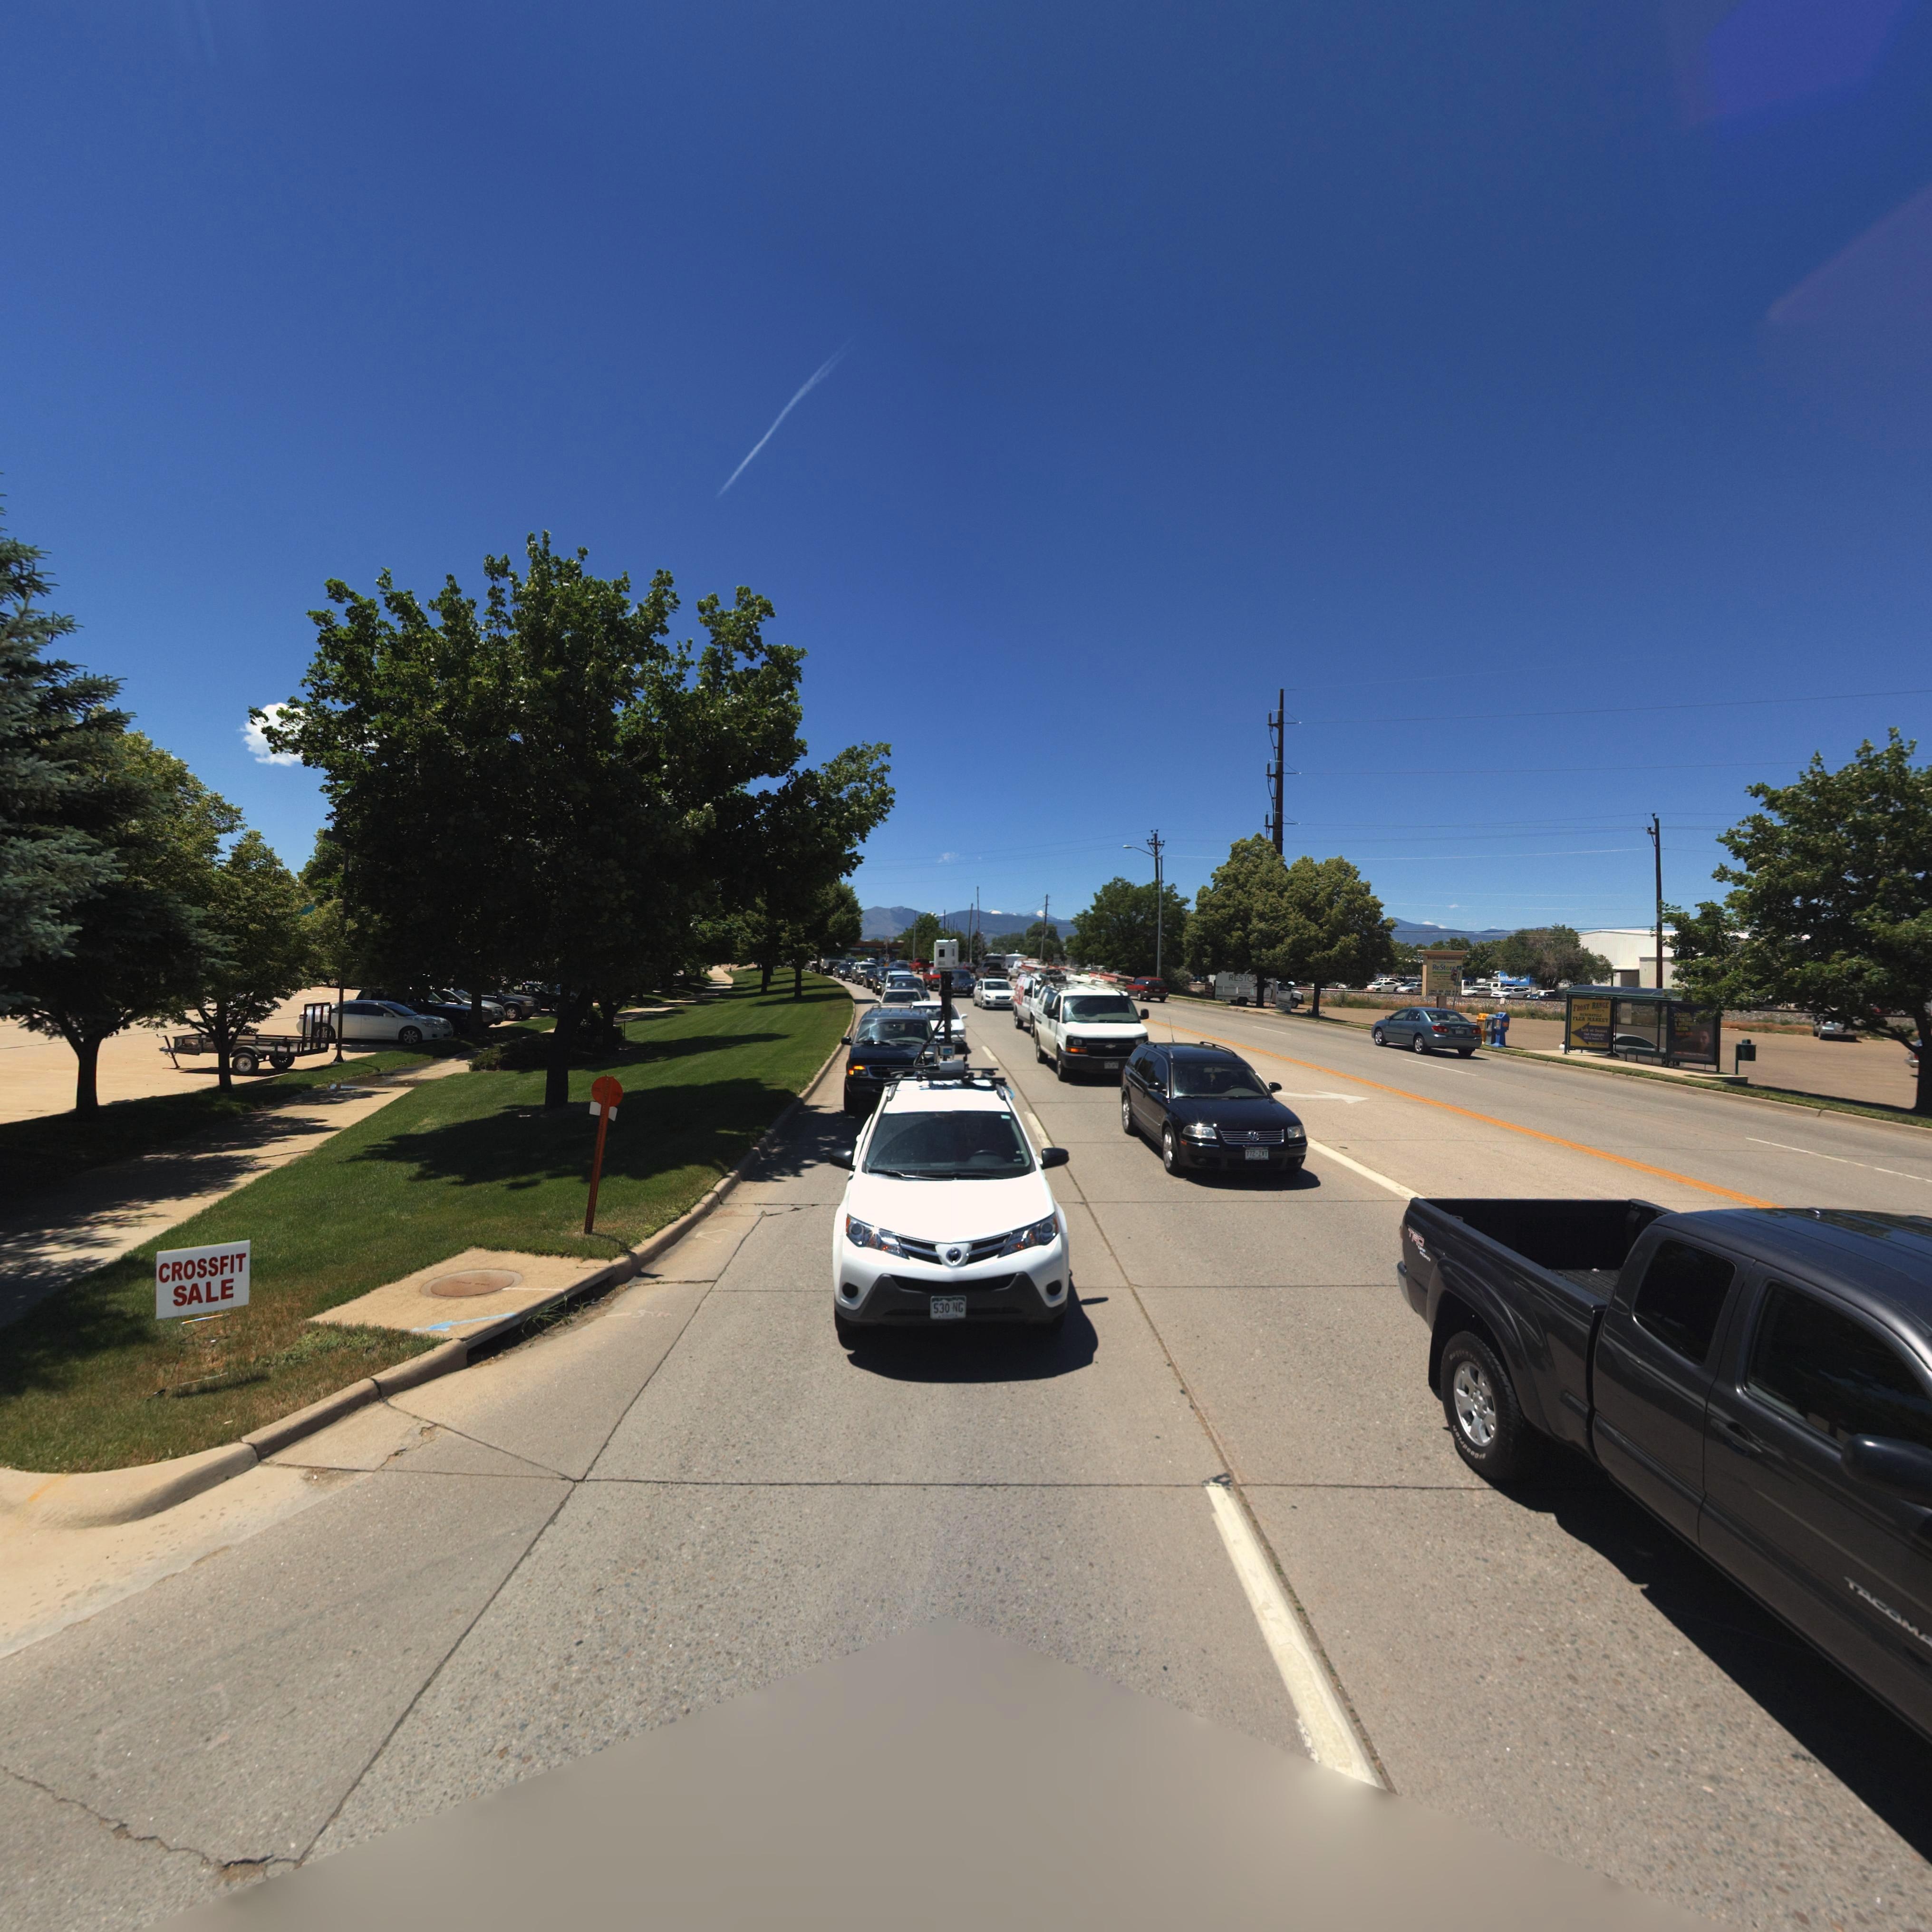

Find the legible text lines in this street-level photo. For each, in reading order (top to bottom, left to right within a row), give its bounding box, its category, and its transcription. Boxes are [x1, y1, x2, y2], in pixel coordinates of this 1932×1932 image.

[1432, 964, 1456, 971] BusinessName: ReStore
[158, 1252, 246, 1284] BusinessName: CROSSETT